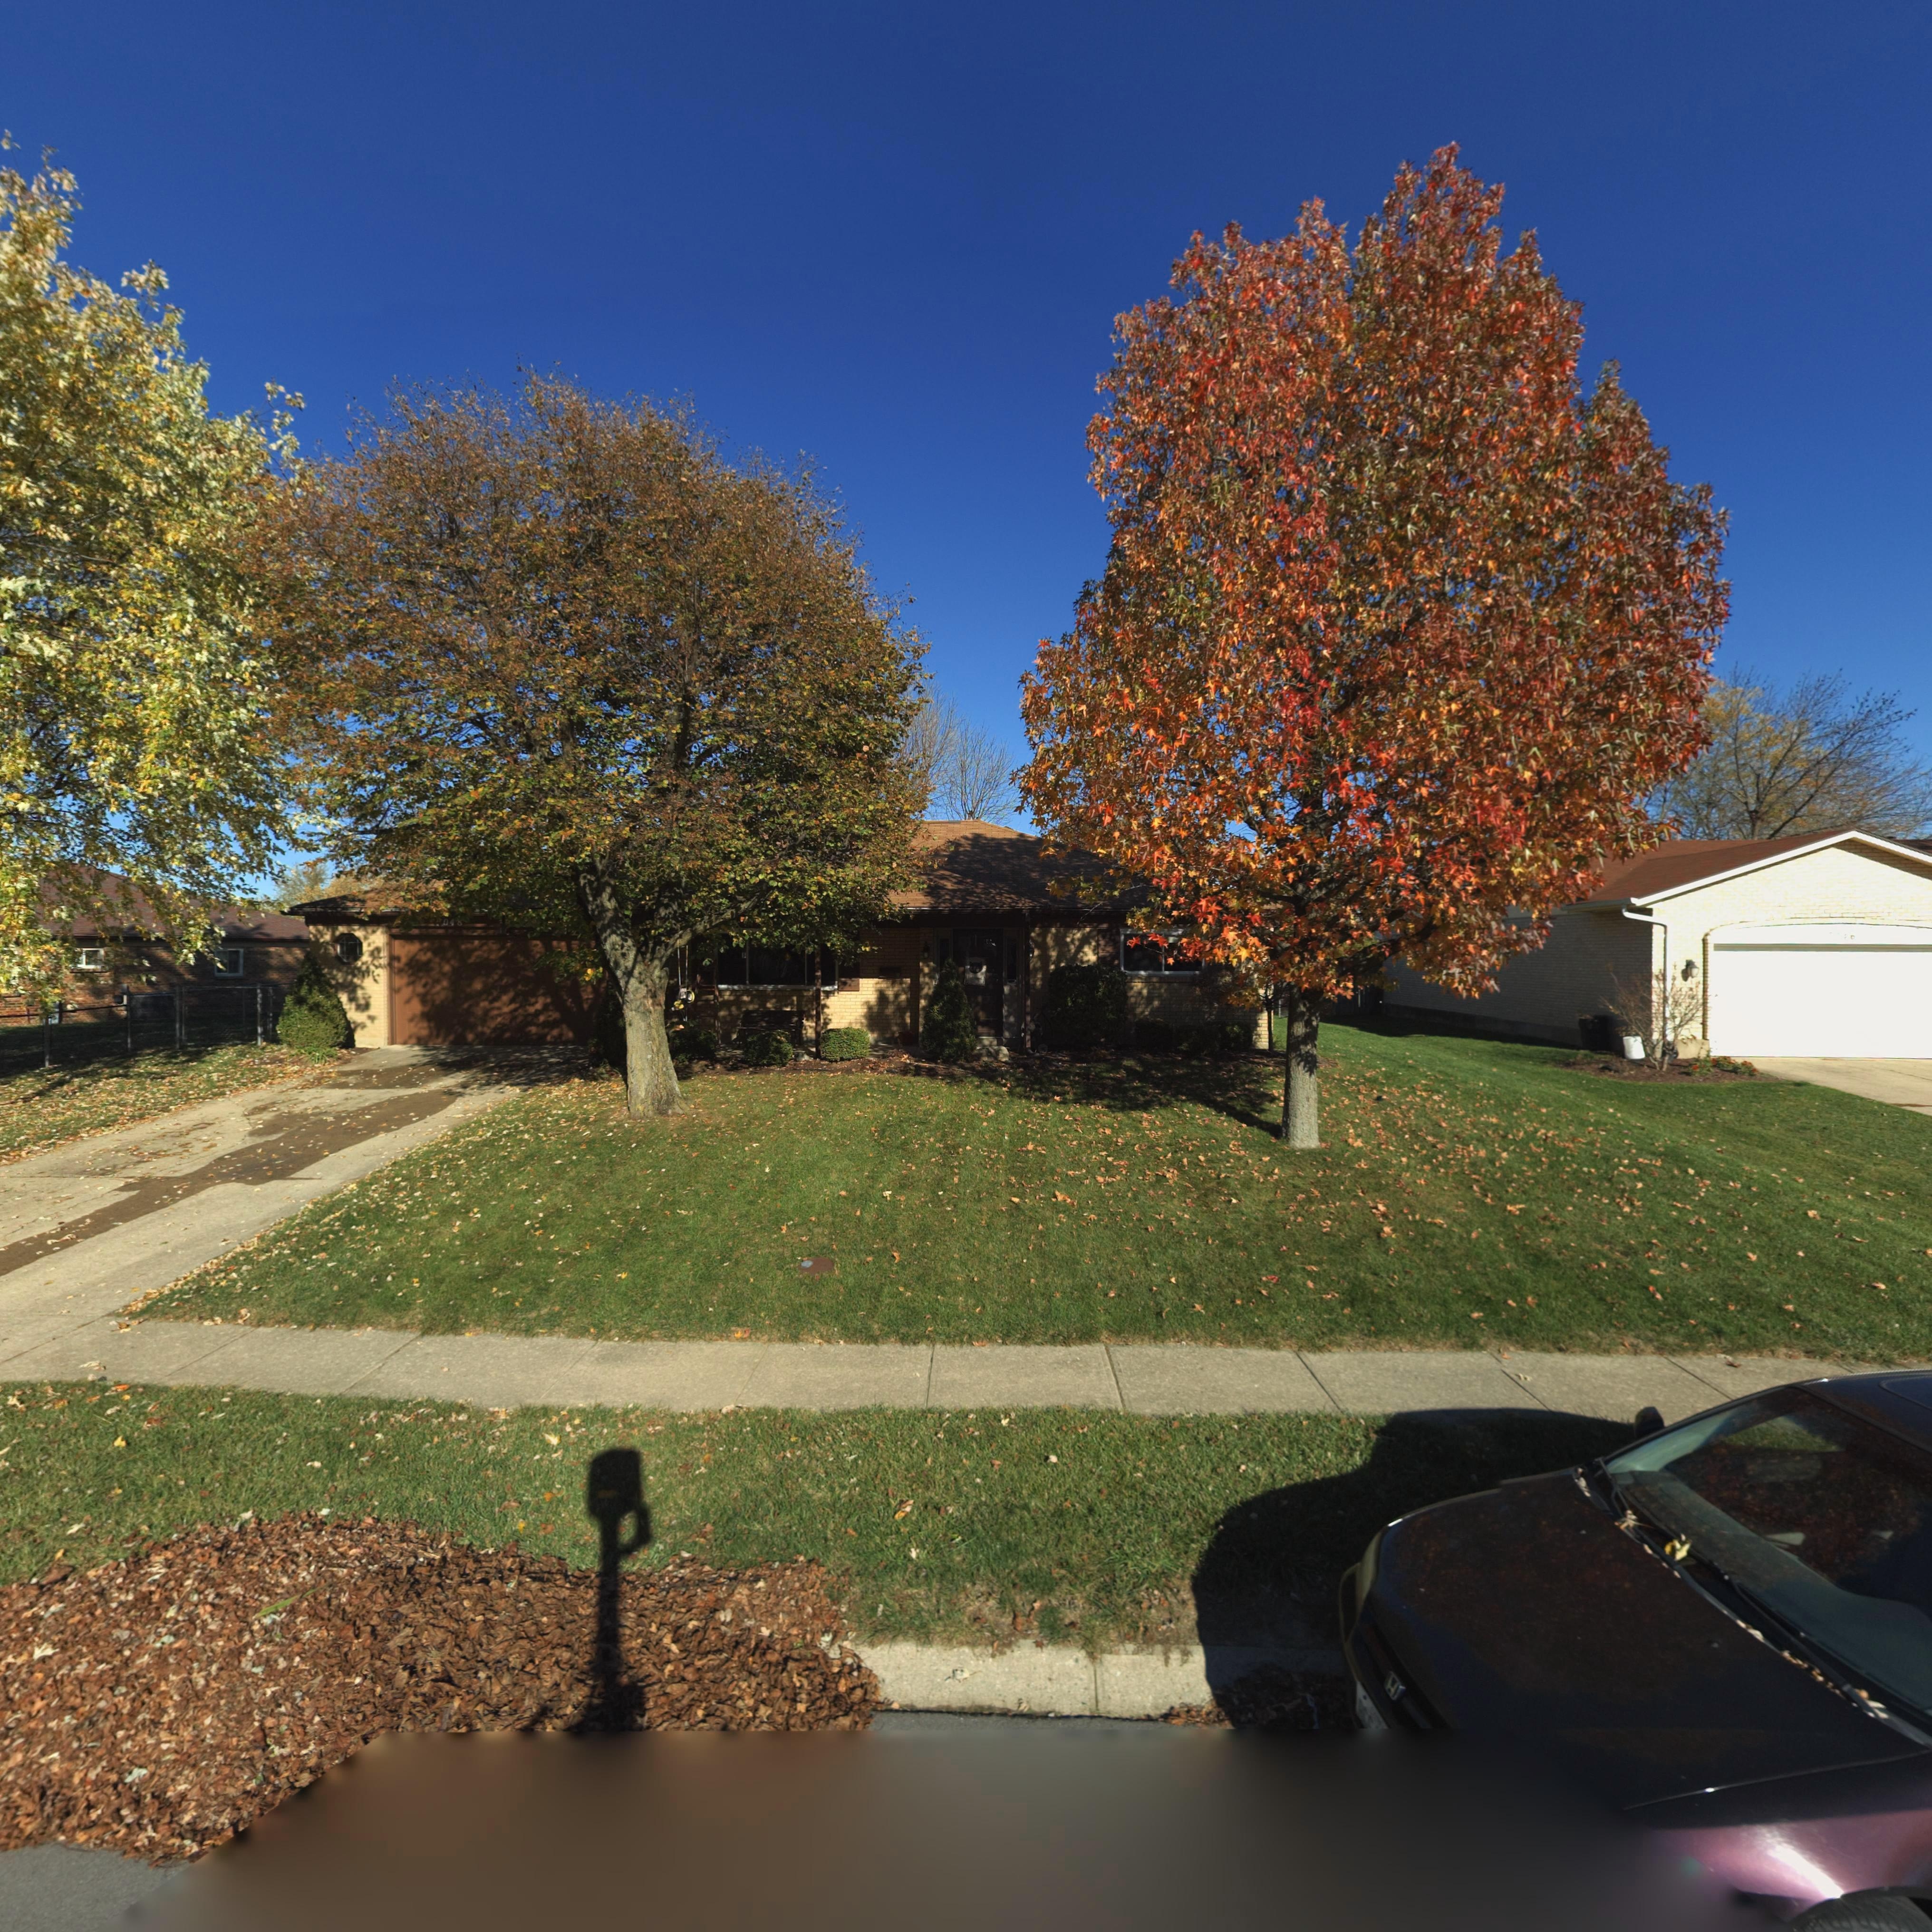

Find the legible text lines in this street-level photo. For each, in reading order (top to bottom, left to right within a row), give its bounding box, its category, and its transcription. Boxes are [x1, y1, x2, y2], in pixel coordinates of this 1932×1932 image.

[442, 918, 455, 927] StreetNumber: 04
[1850, 932, 1856, 940] StreetNumber: 6